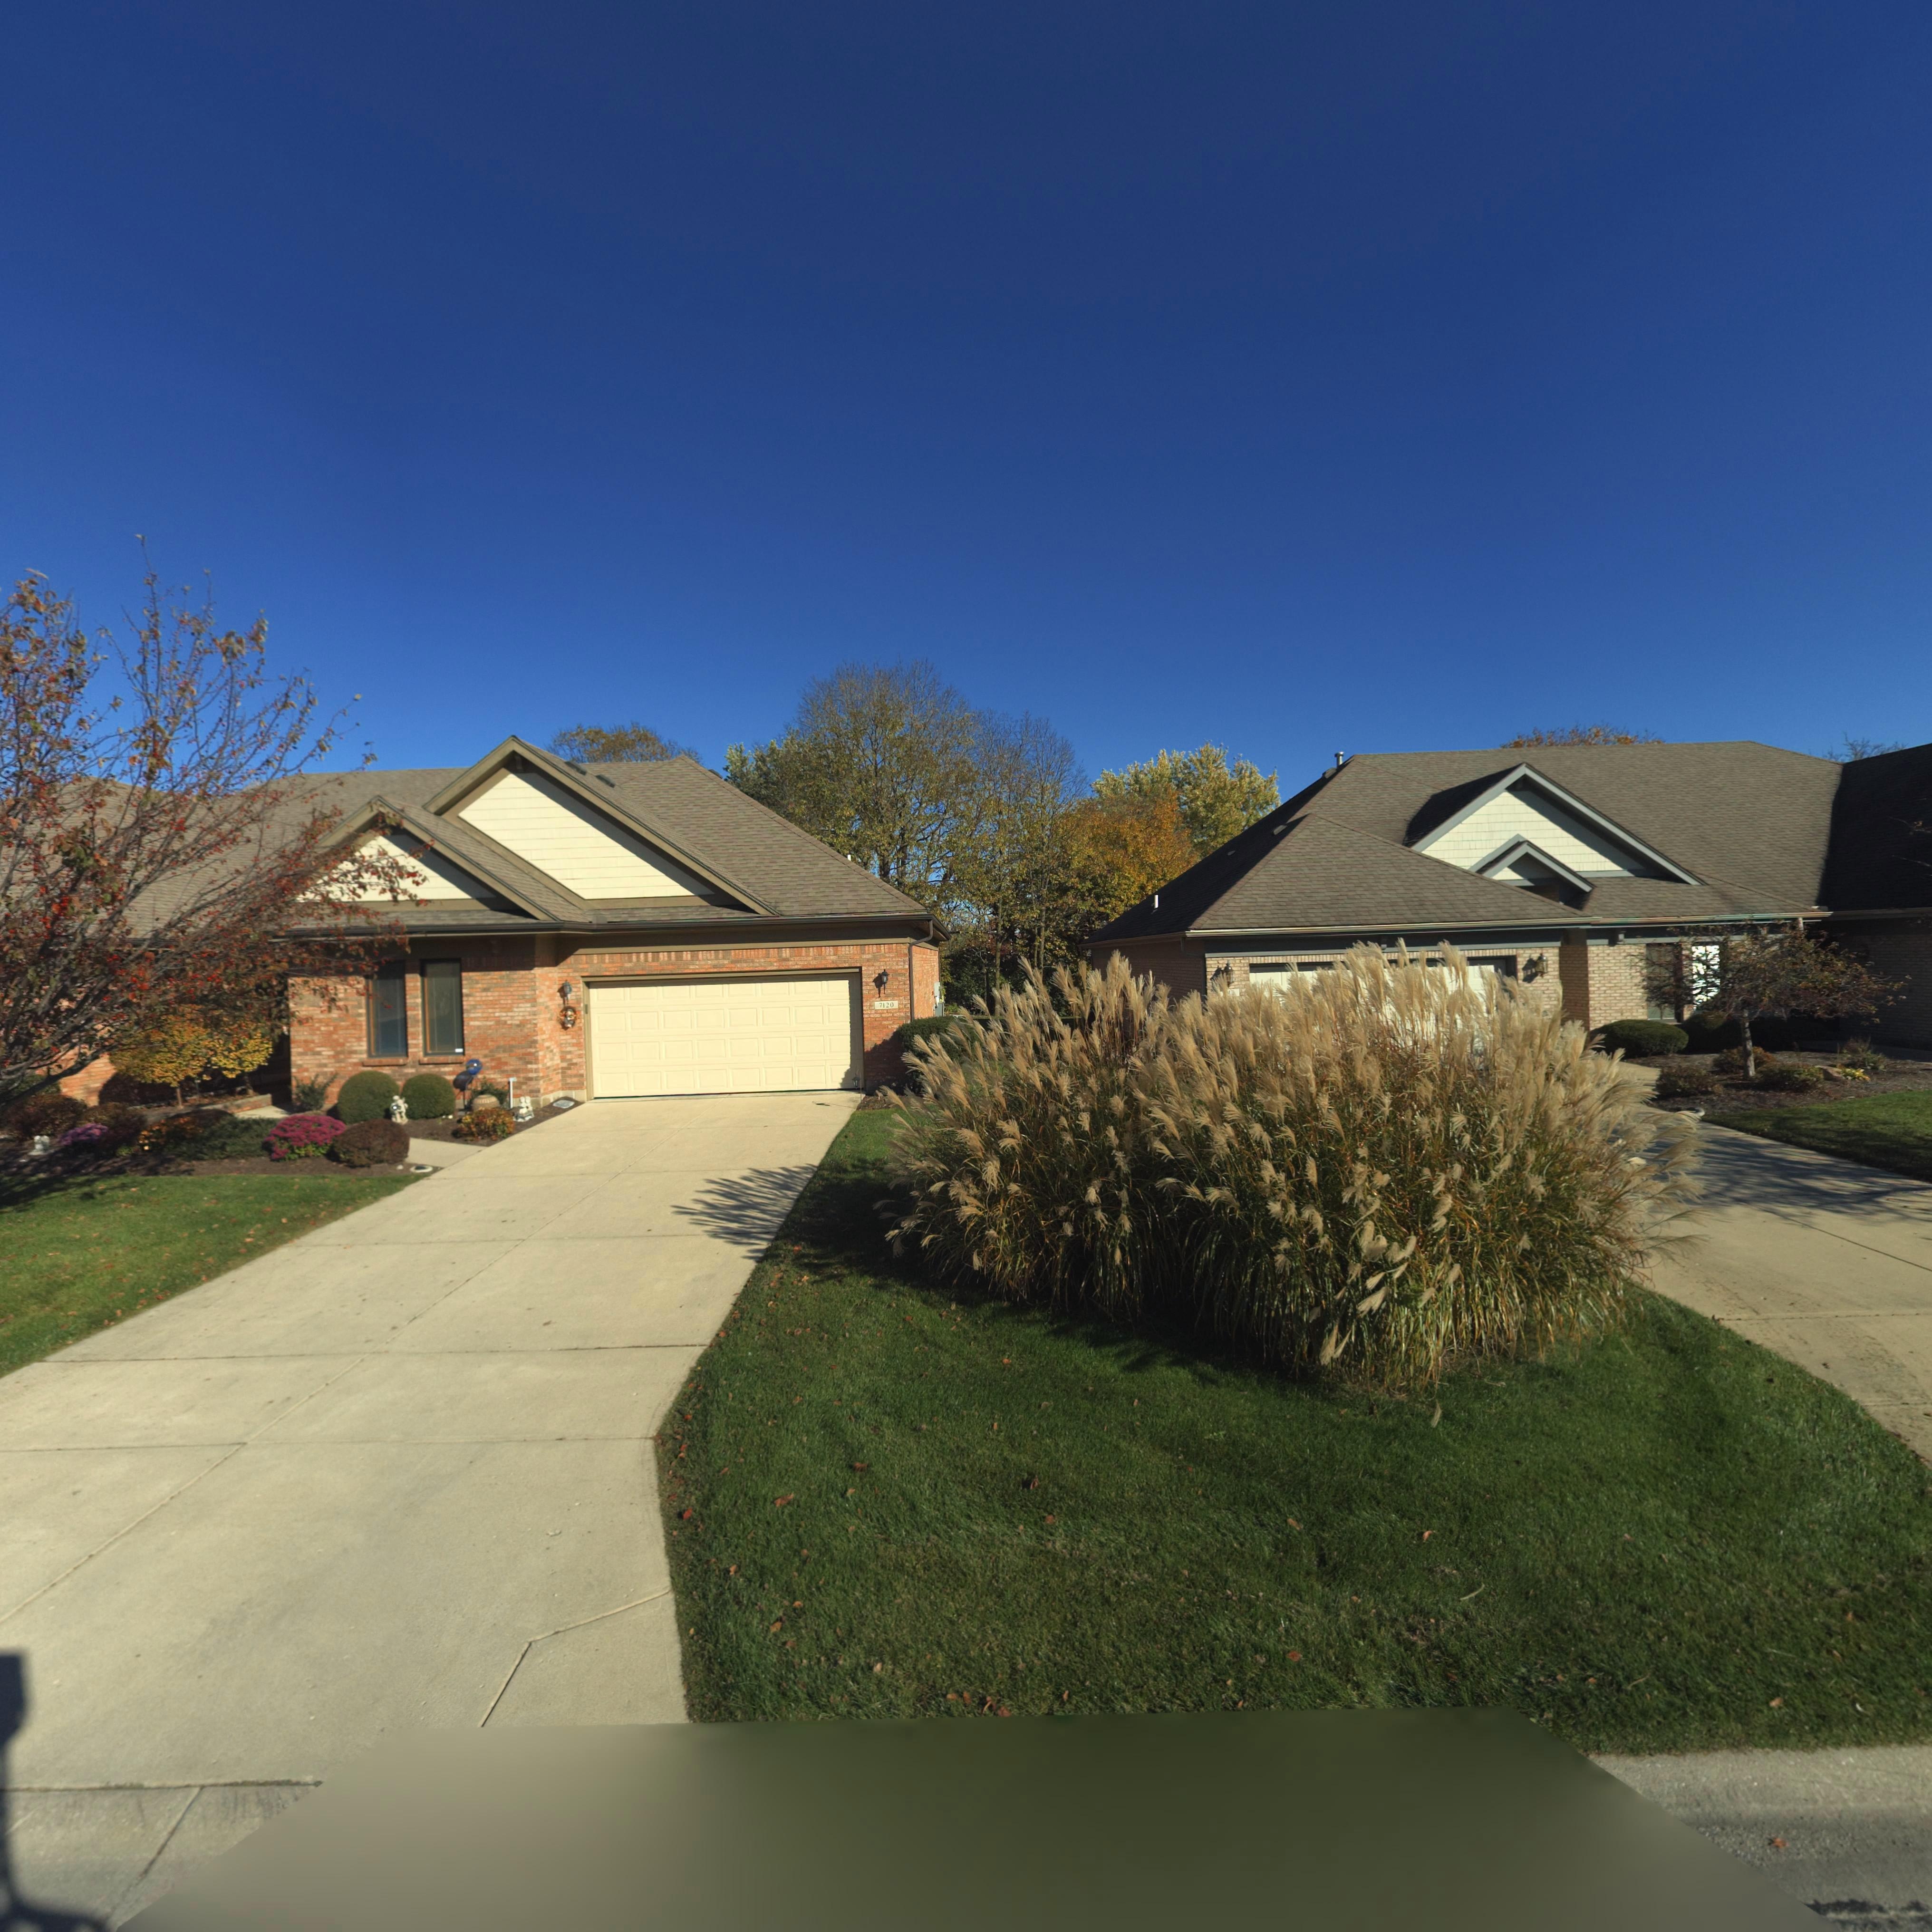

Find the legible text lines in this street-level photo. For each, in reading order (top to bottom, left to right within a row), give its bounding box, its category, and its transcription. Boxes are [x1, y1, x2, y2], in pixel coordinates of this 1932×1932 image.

[879, 1002, 894, 1008] StreetNumber: 7120